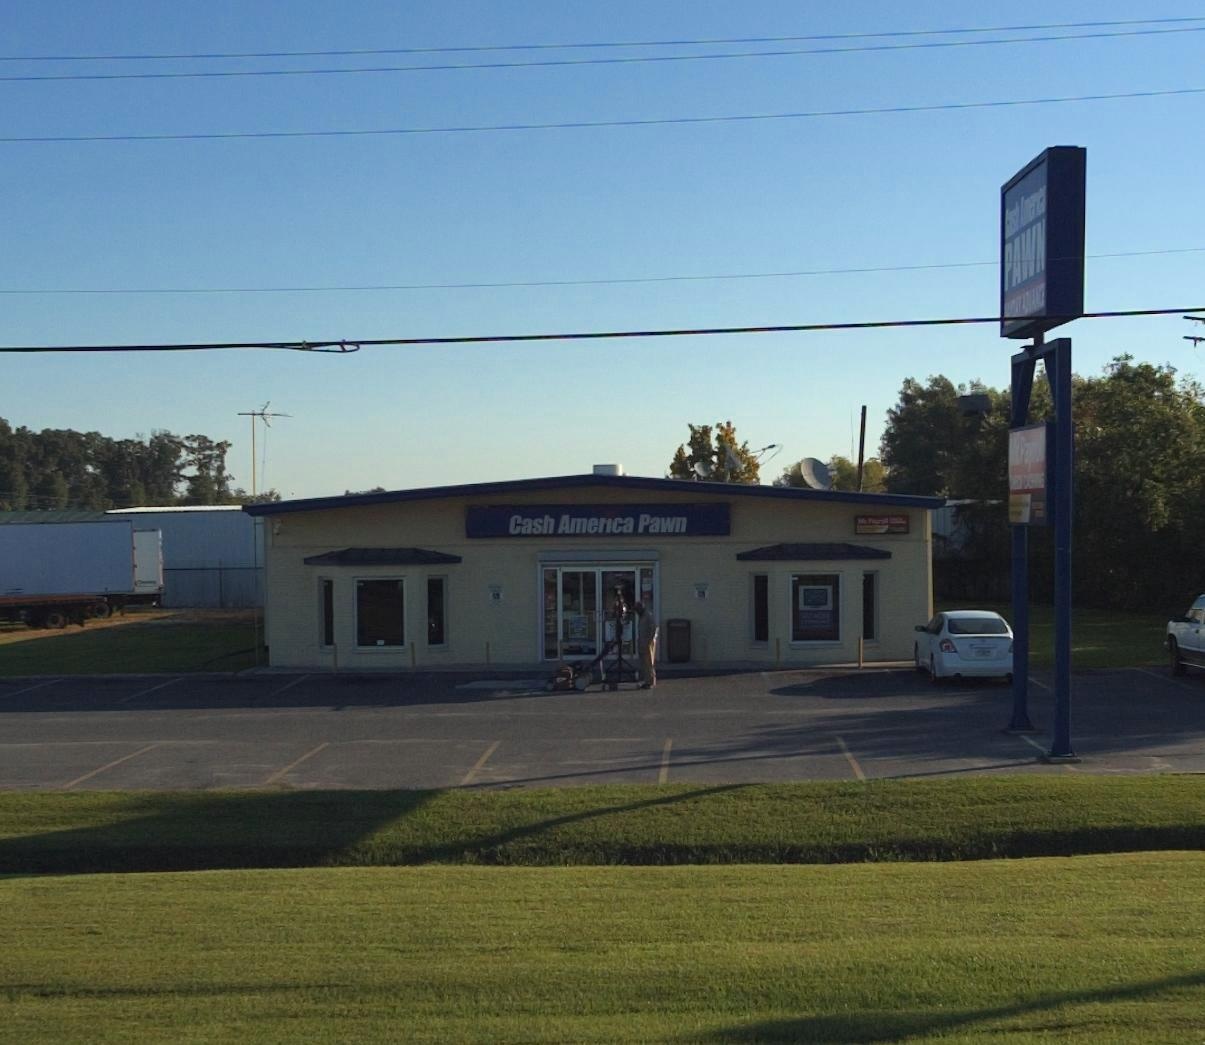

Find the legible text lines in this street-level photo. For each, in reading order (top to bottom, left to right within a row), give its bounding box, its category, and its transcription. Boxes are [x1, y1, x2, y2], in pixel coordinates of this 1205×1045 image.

[1001, 212, 1049, 295] BusinessName: PAWN
[505, 512, 689, 537] BusinessName: Cash America Pawn